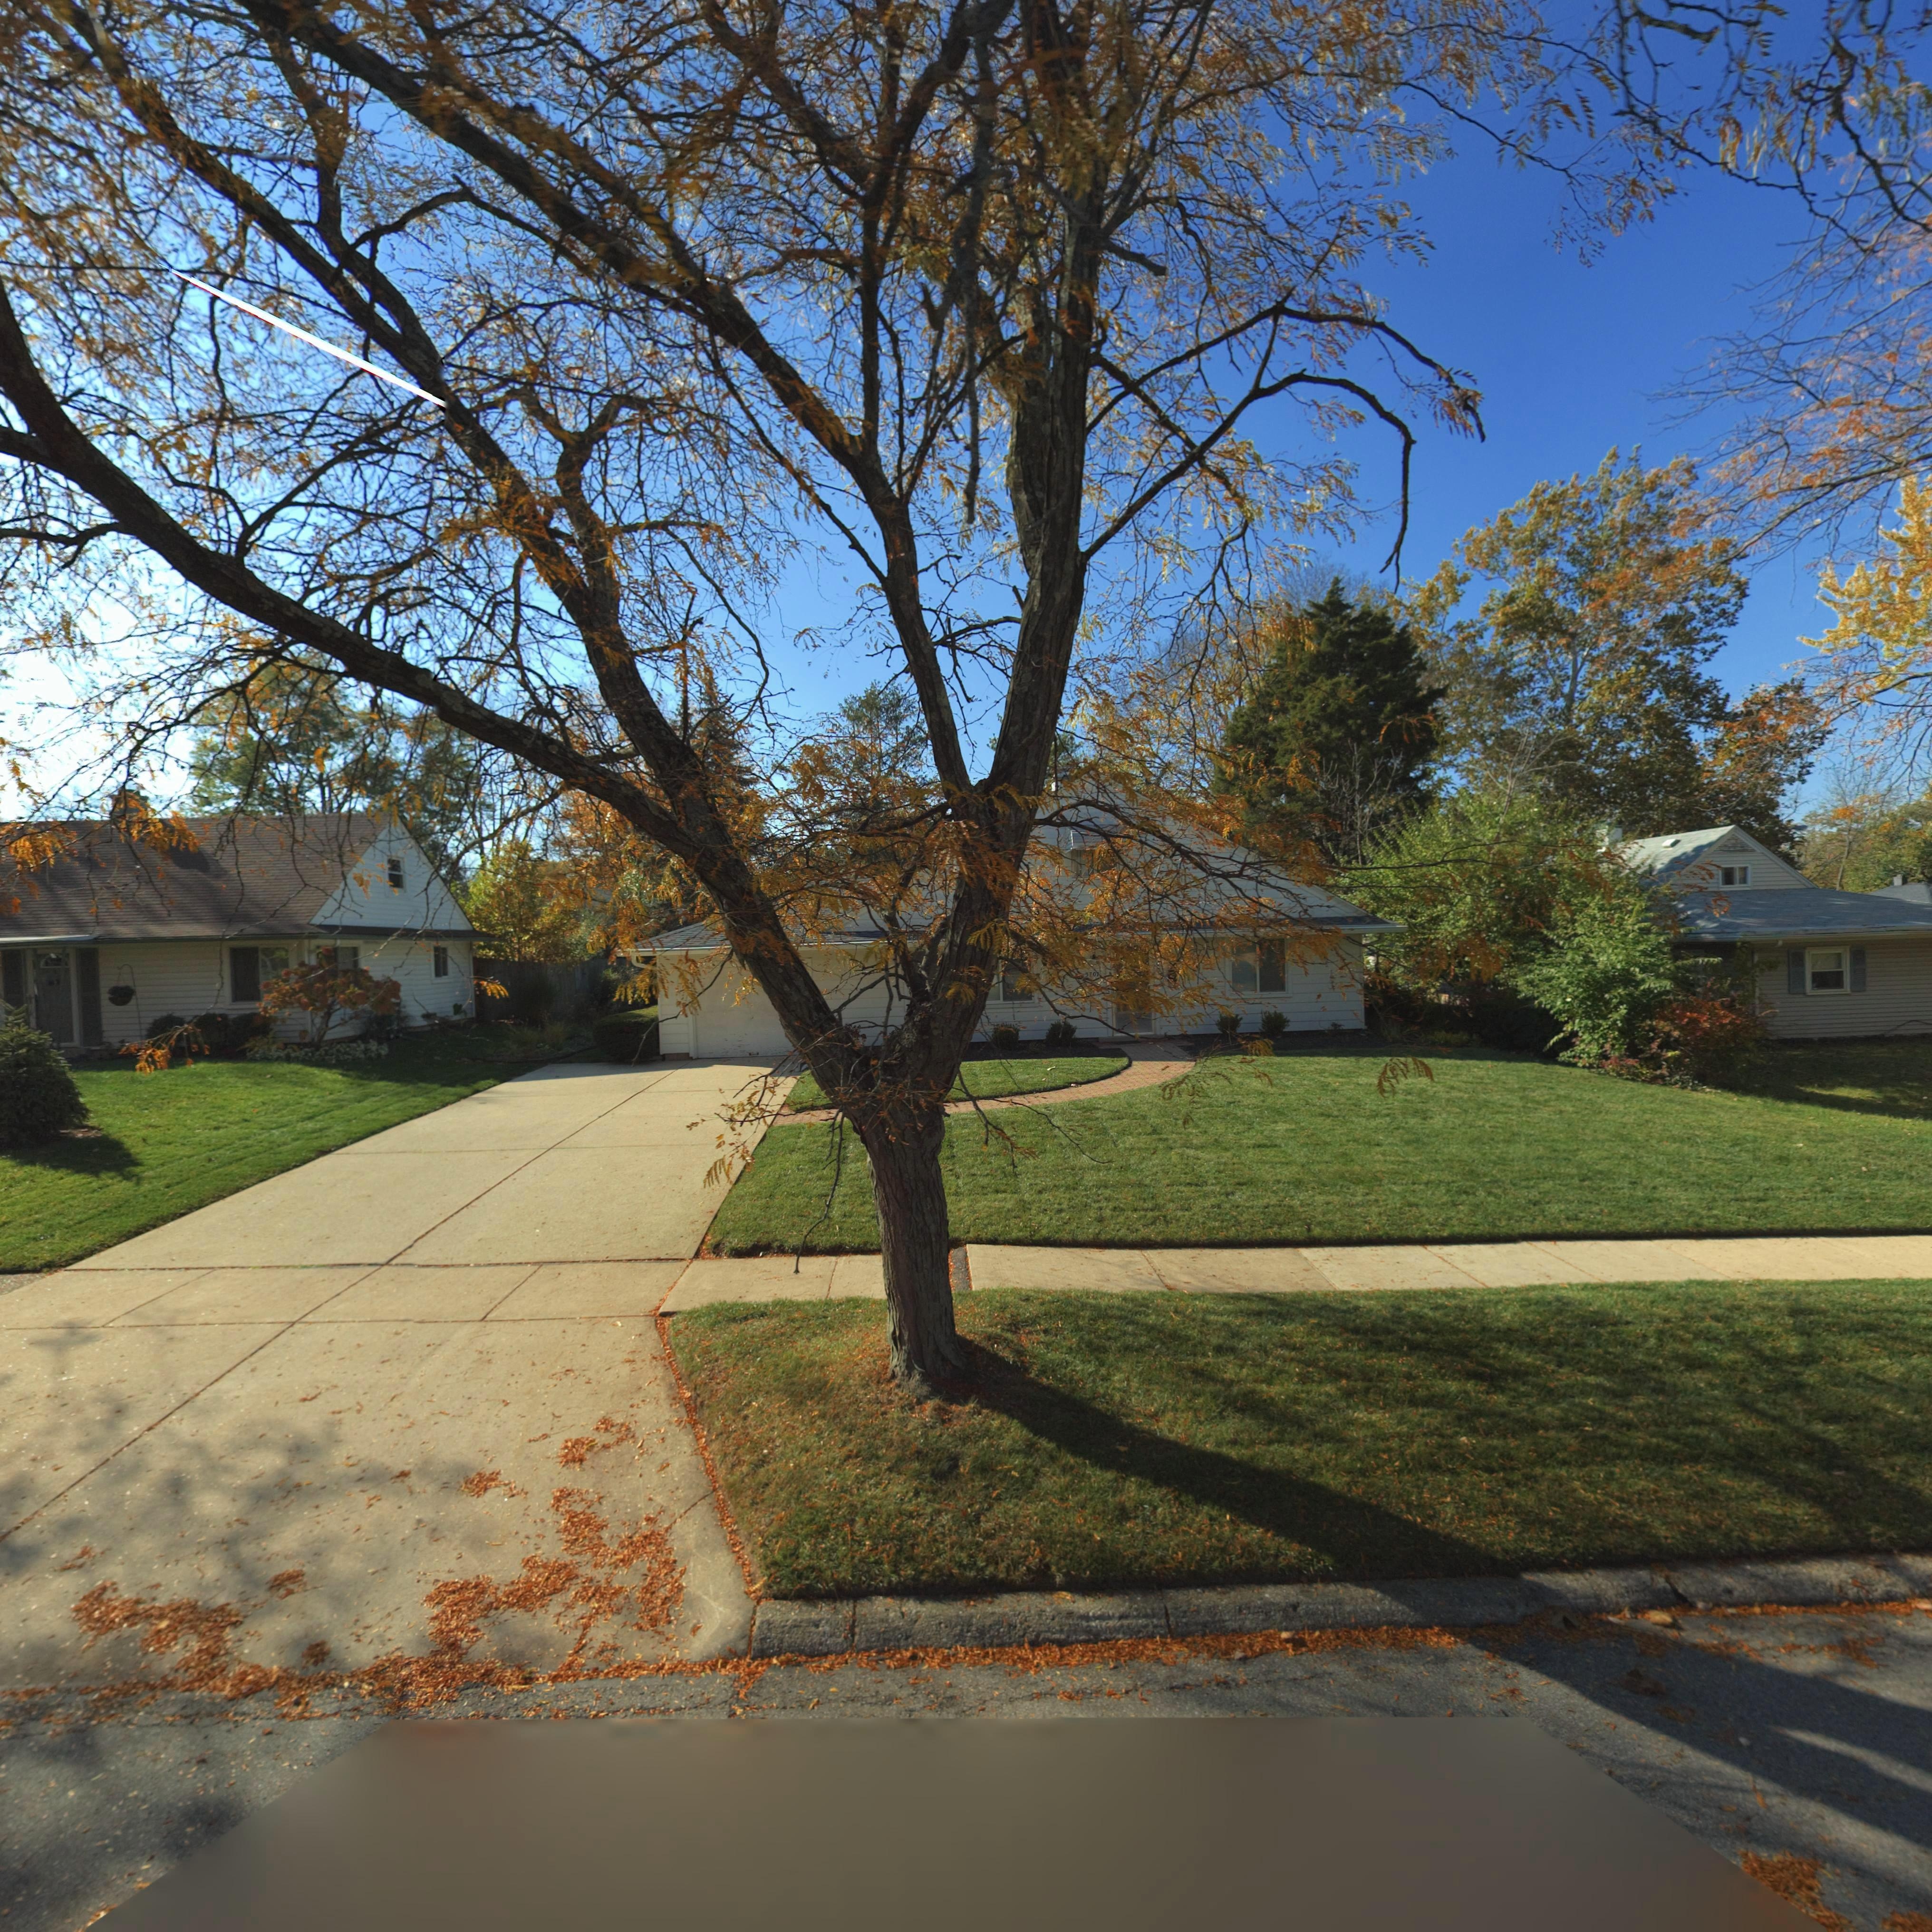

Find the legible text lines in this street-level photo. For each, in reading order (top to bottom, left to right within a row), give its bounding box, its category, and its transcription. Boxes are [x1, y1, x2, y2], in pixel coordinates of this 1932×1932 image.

[1085, 972, 1100, 977] StreetNumber: 3707